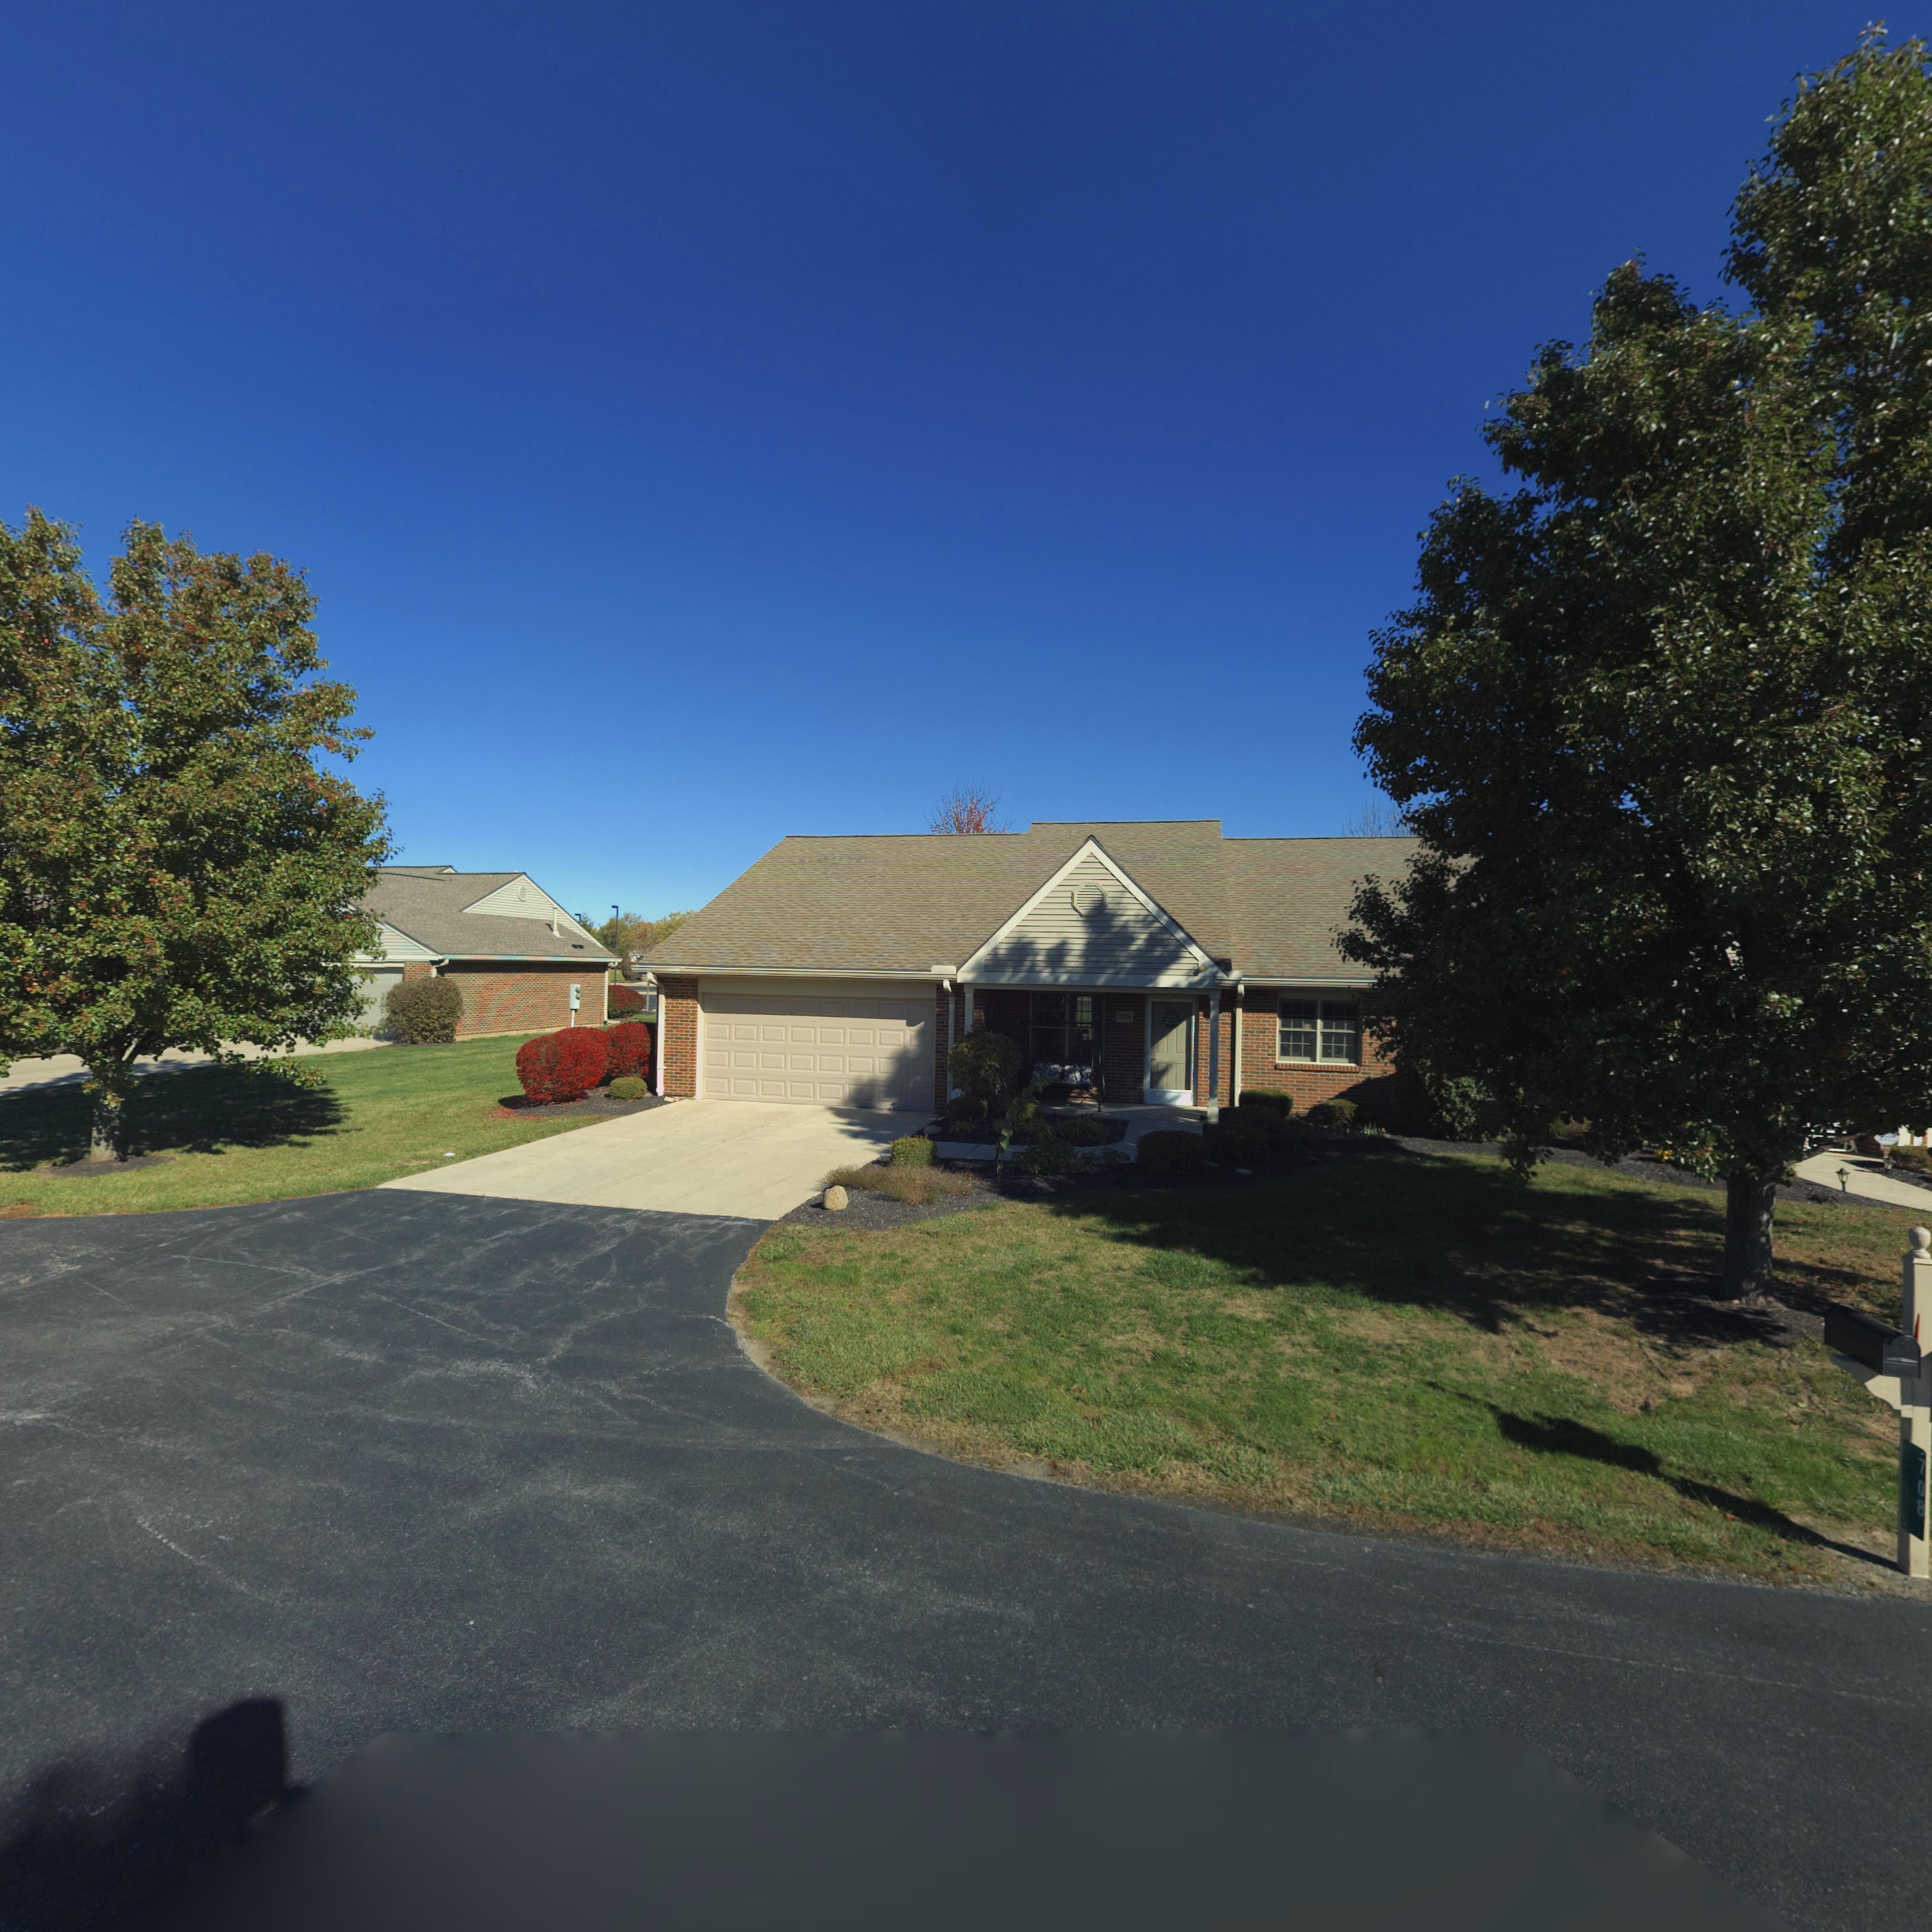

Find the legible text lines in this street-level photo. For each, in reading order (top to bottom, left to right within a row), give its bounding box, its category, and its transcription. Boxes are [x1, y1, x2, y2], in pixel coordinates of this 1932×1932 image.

[1118, 1013, 1132, 1020] StreetNumber: 708
[1916, 1456, 1926, 1517] StreetNumber: 708